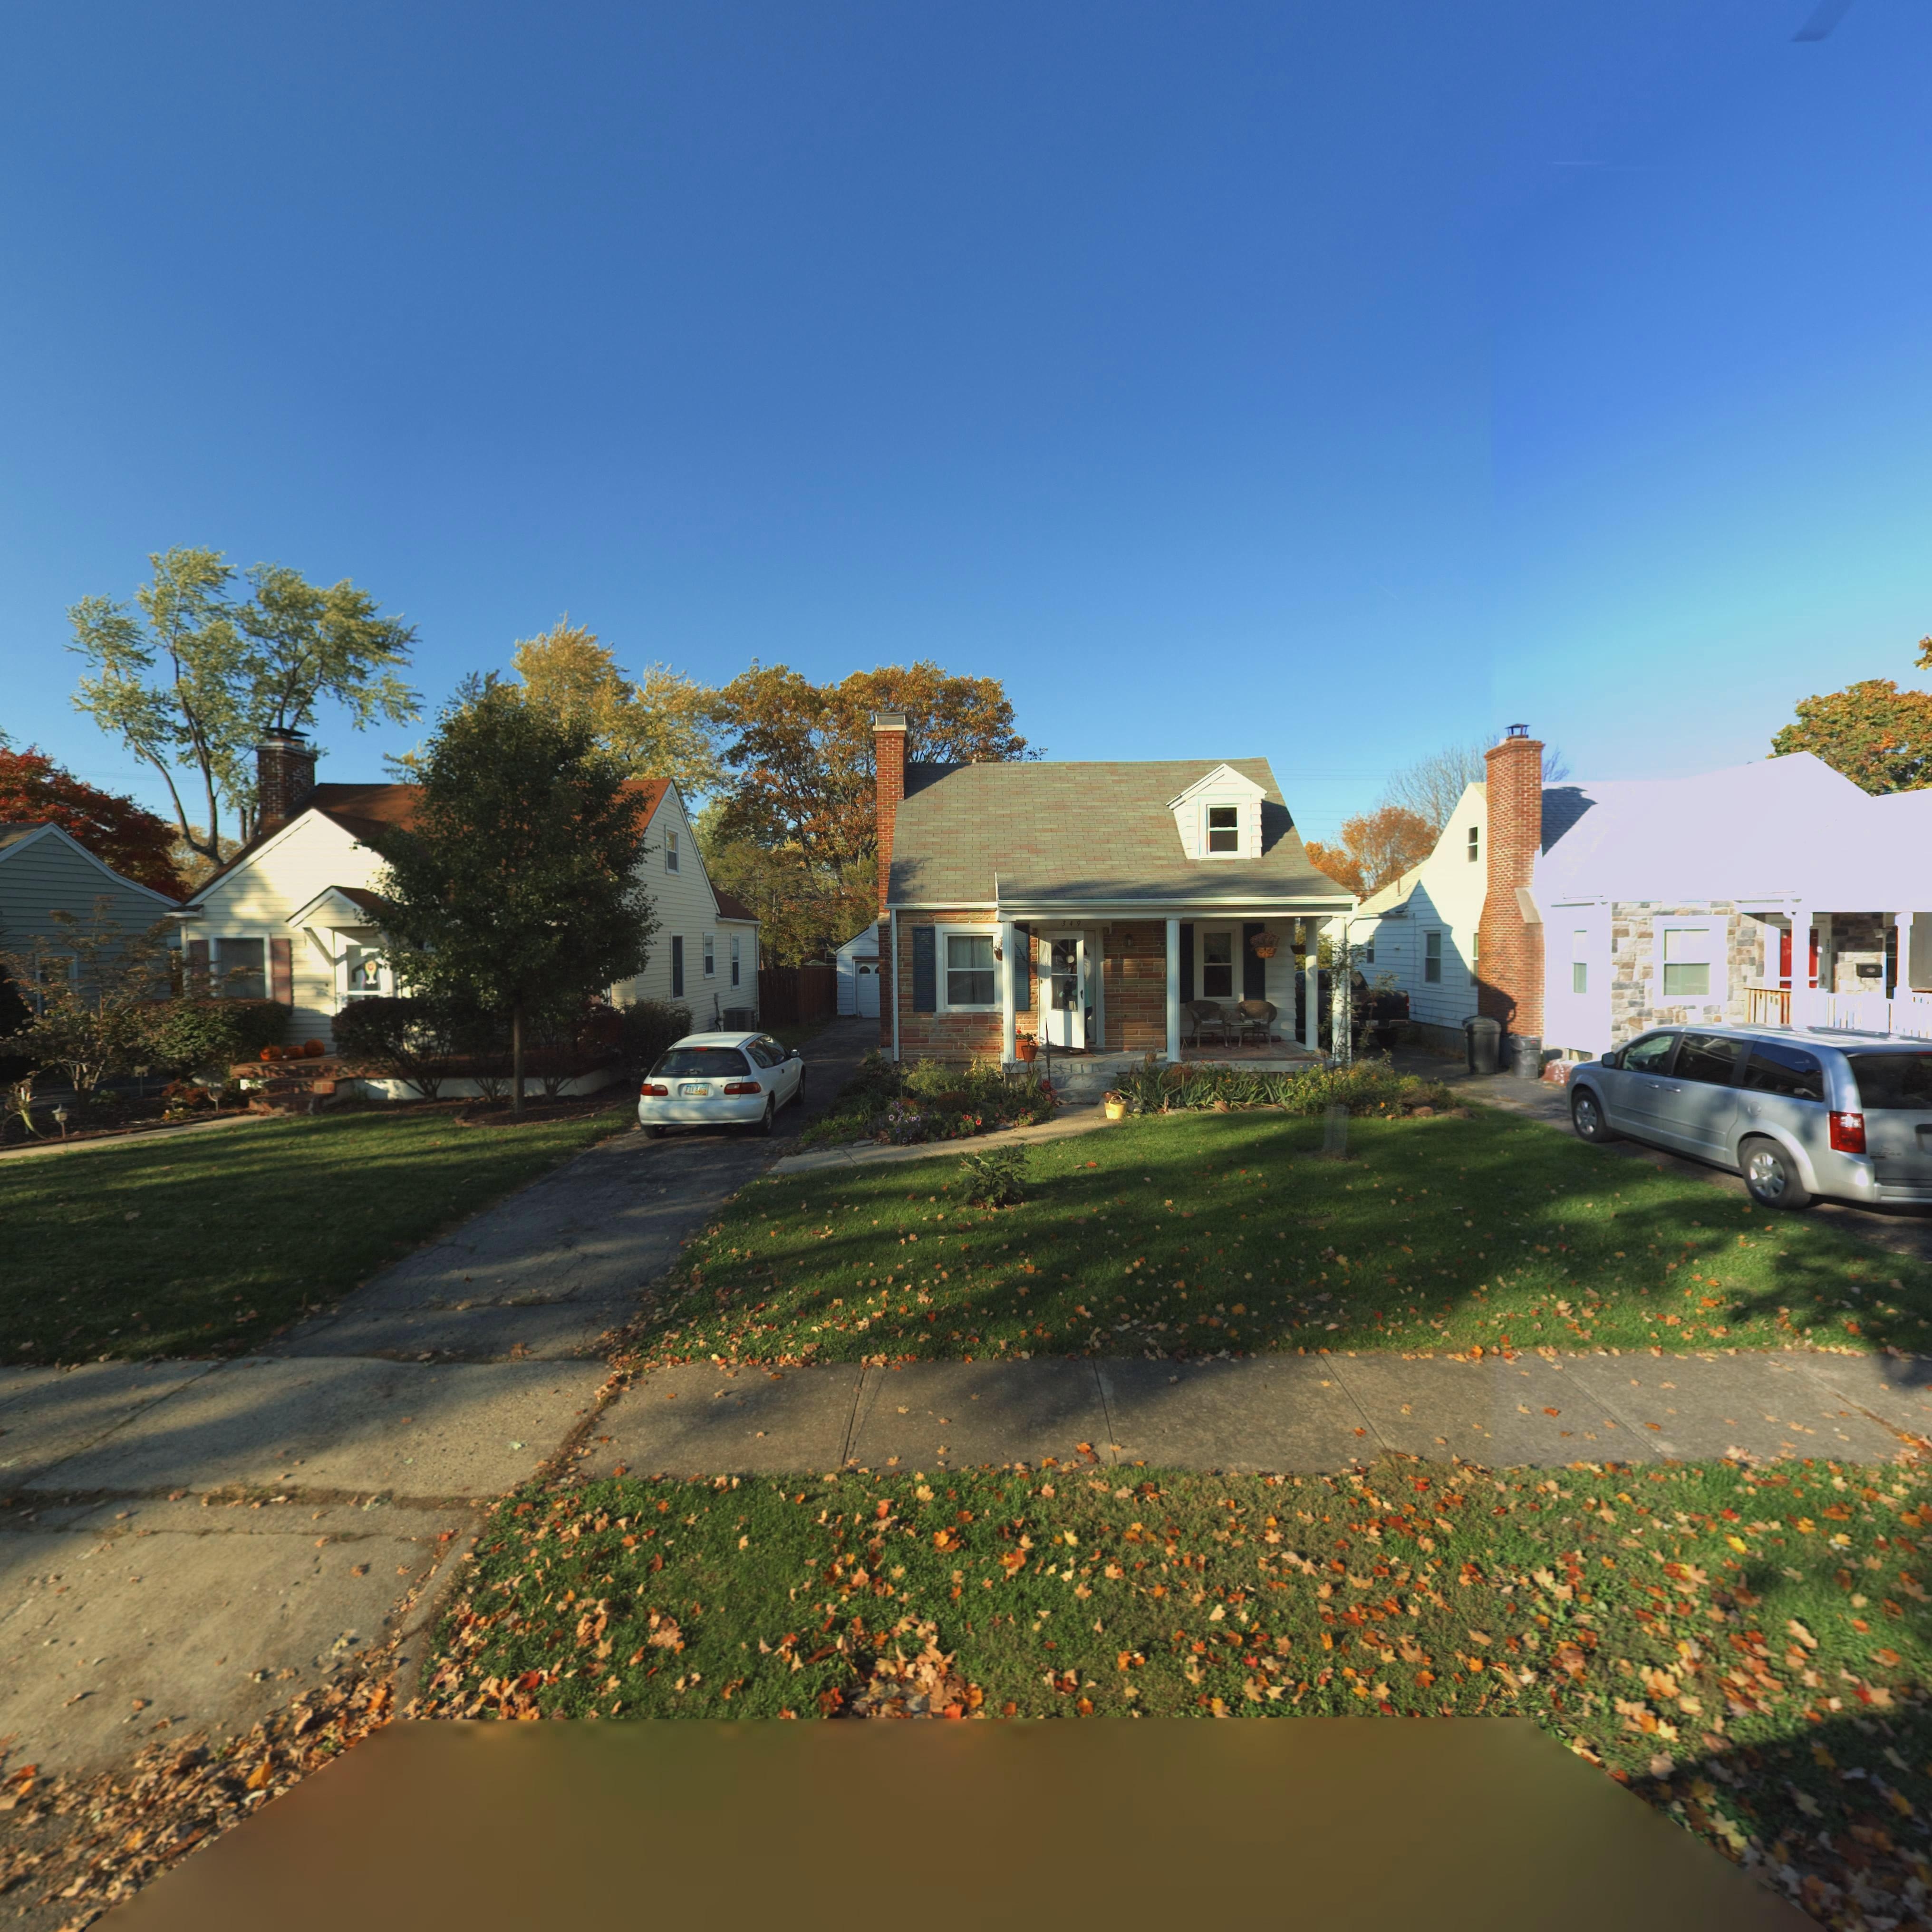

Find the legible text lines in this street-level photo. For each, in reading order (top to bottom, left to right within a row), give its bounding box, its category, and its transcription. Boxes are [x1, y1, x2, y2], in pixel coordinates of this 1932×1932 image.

[1061, 920, 1082, 927] StreetNumber: 349
[1826, 938, 1830, 954] StreetNumber: 3*3